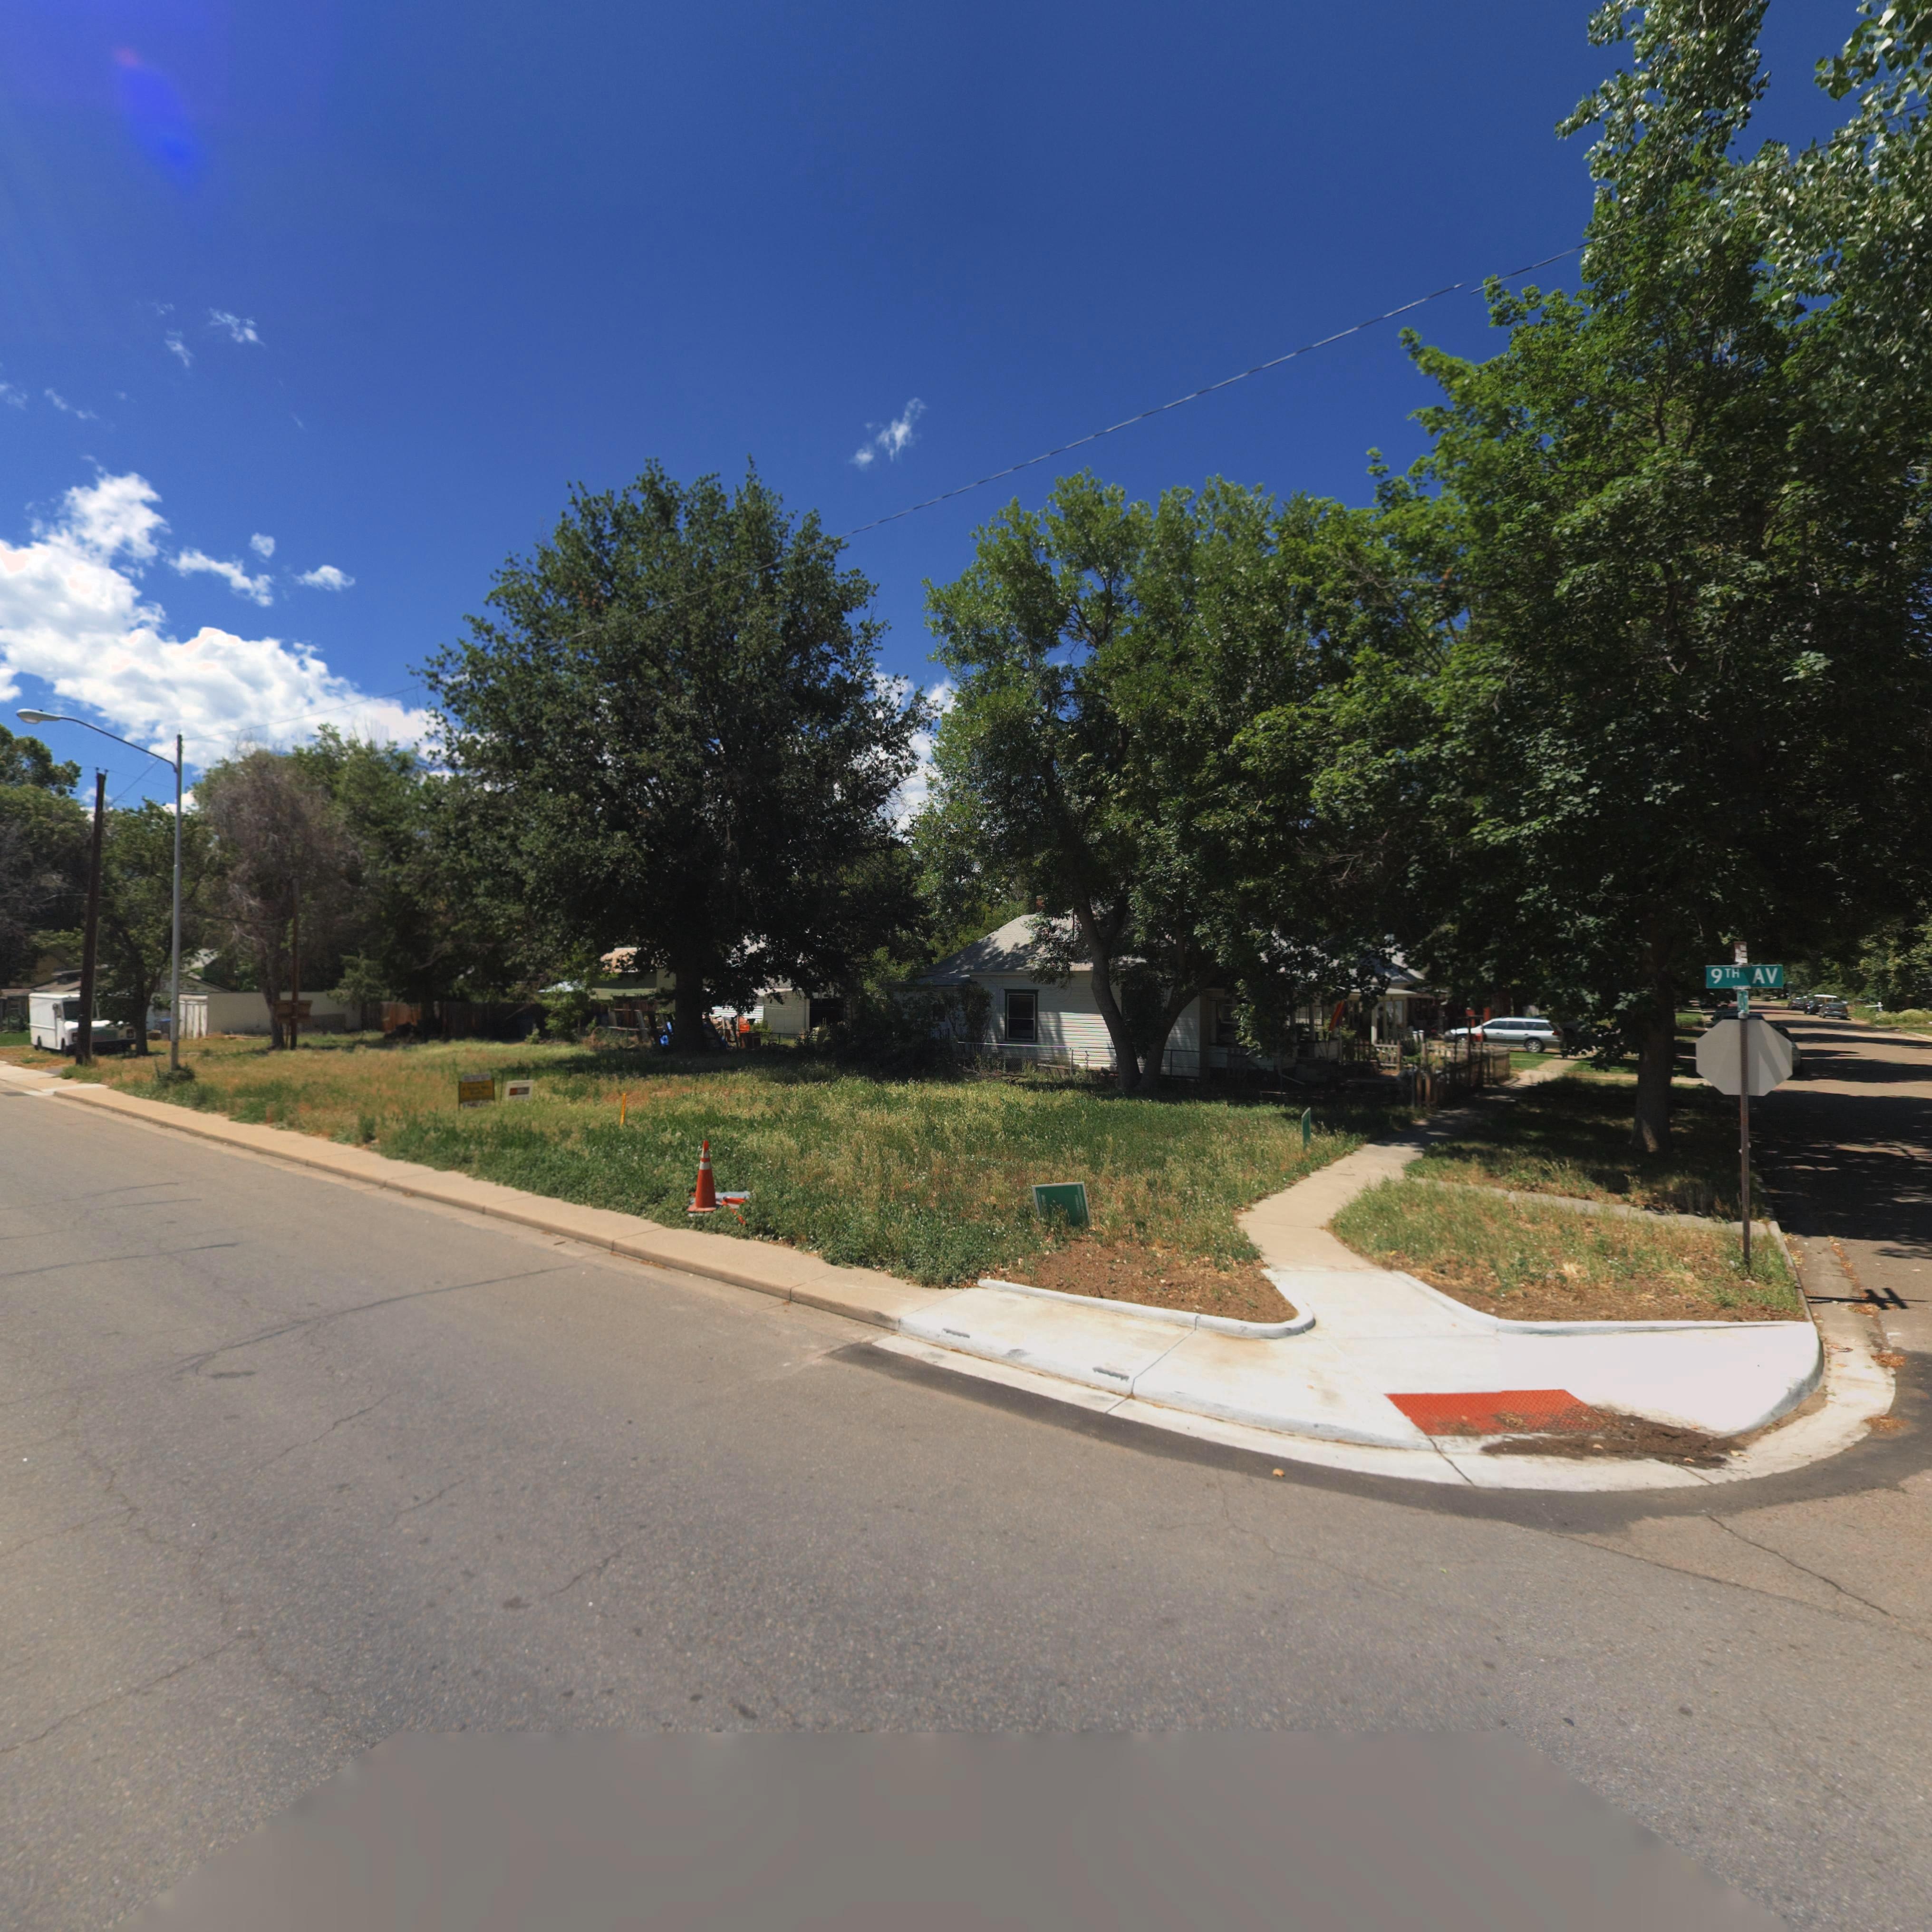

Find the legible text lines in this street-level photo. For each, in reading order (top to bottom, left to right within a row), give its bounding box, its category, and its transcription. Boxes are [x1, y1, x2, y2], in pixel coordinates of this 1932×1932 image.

[1709, 967, 1778, 984] StreetName: 9TH AV